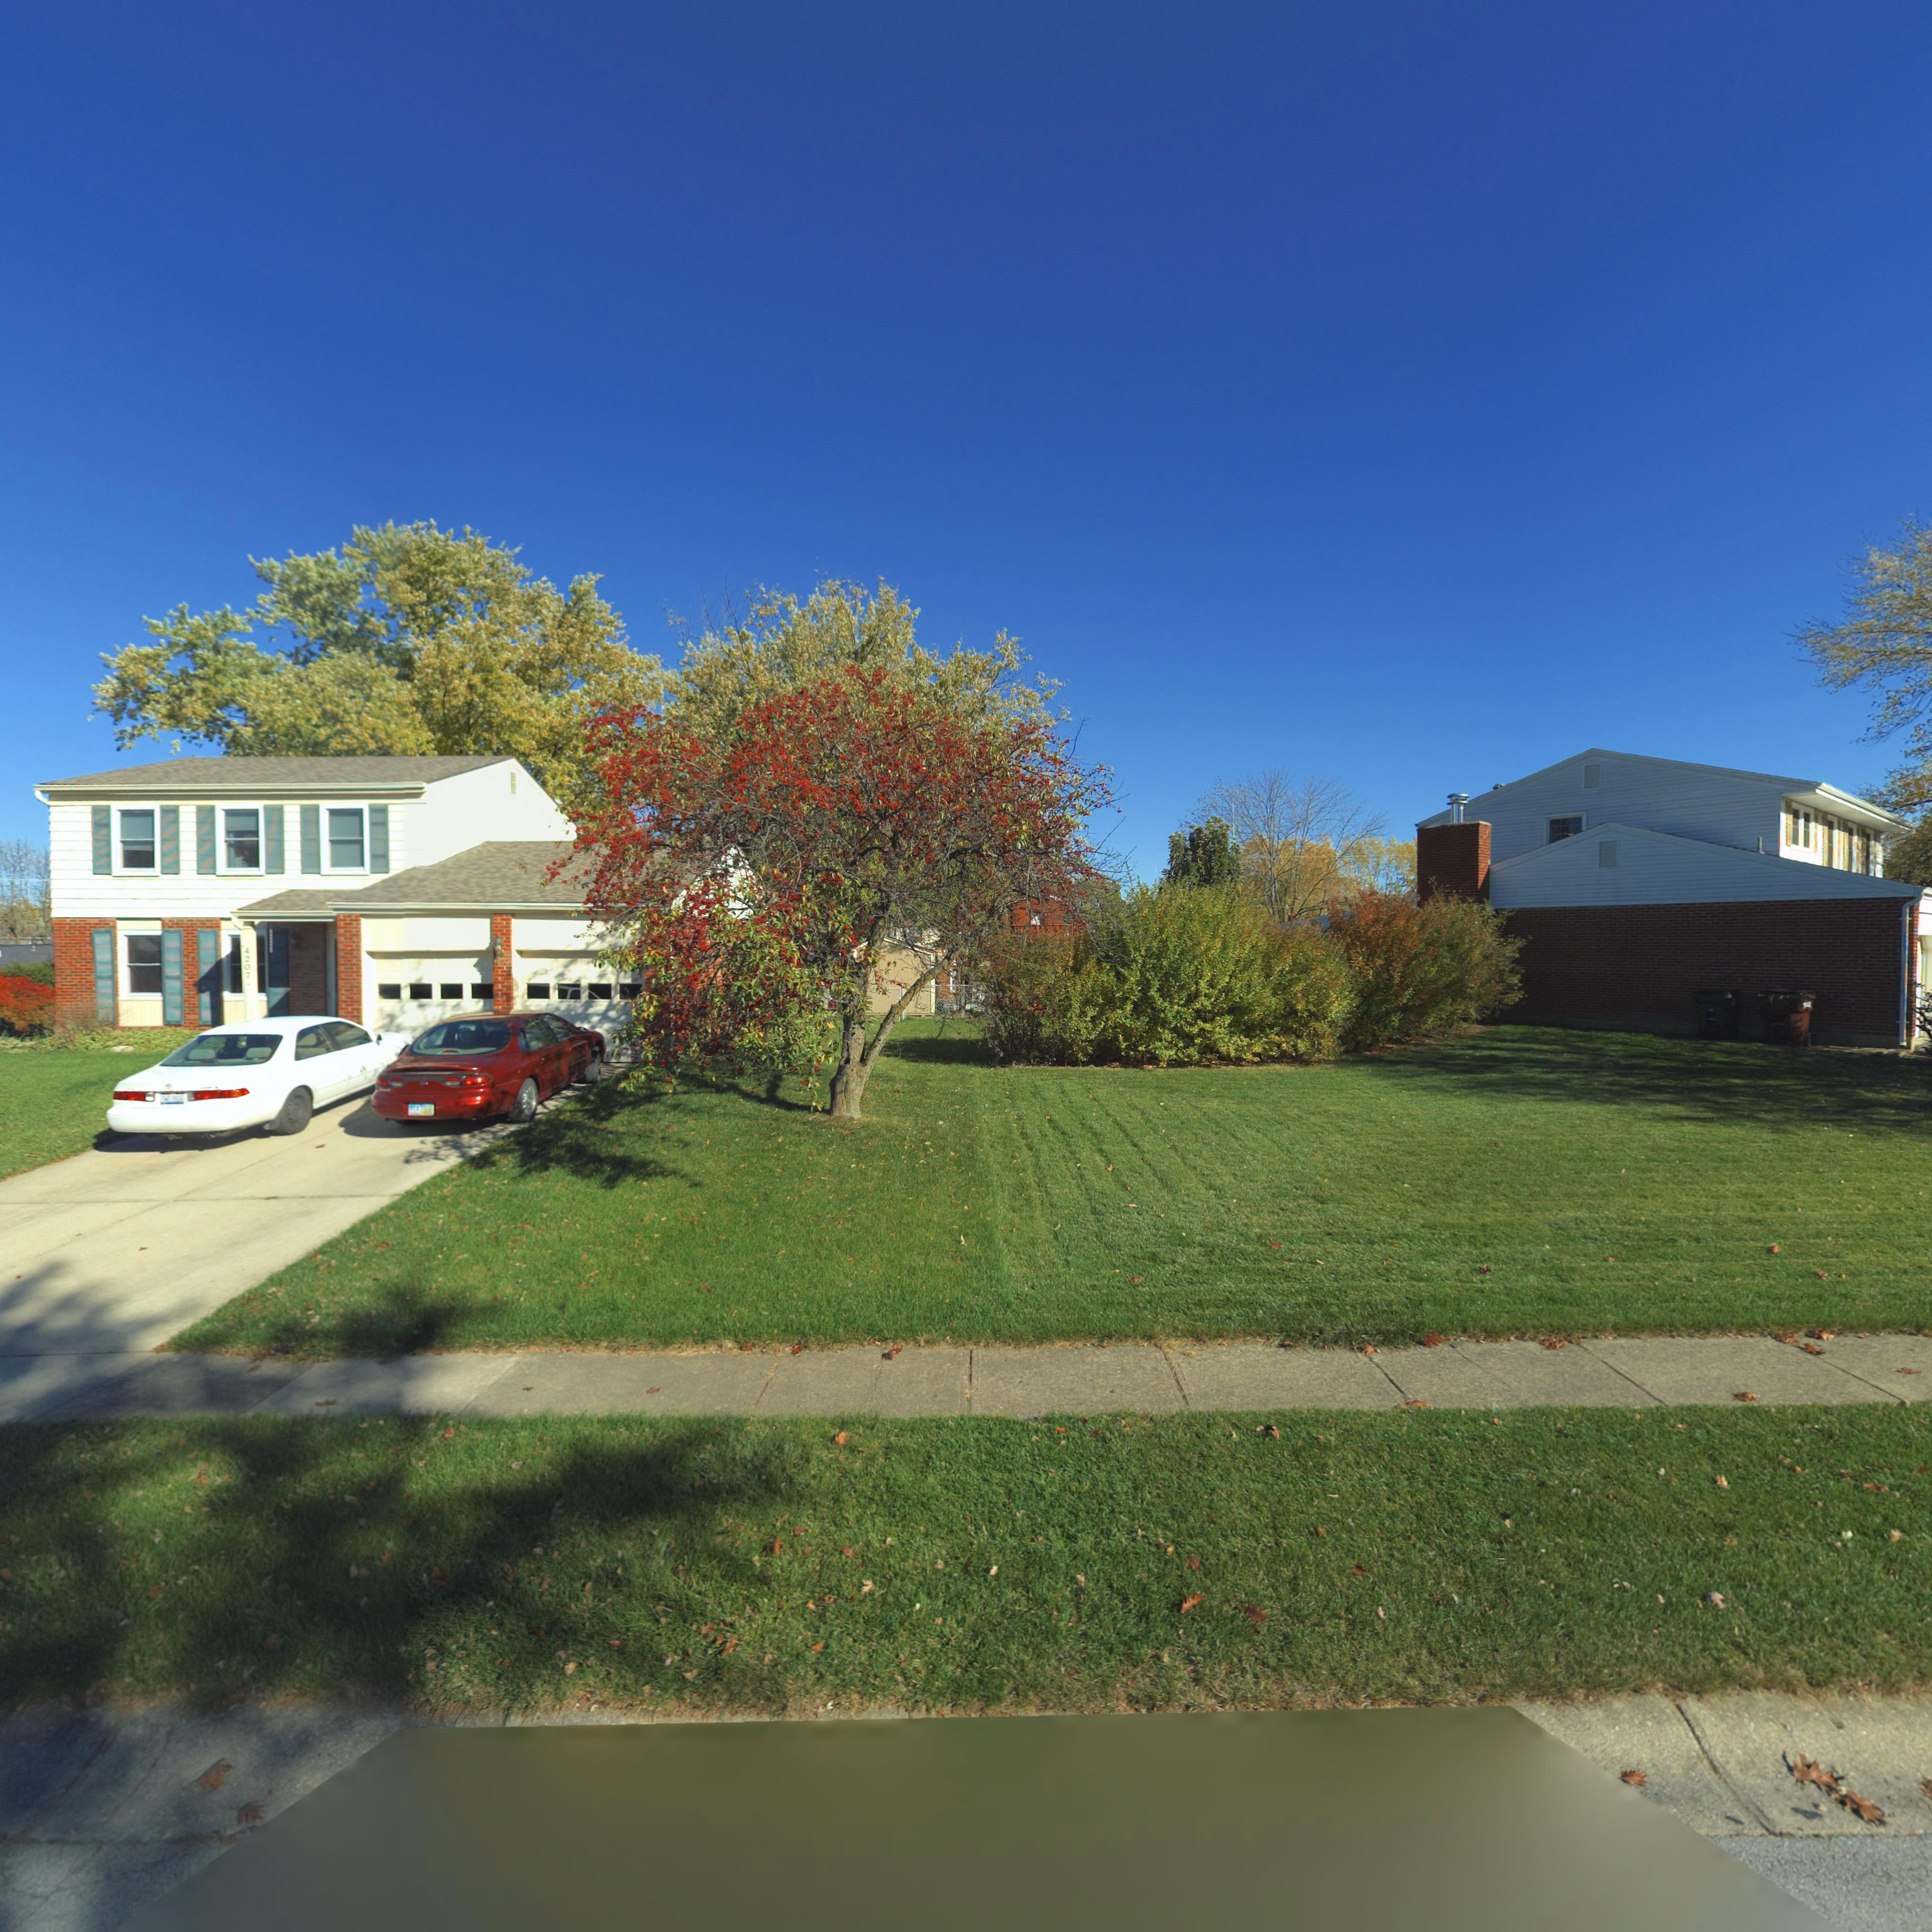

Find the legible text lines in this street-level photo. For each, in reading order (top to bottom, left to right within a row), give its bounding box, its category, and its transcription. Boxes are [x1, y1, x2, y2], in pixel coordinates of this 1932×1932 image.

[244, 947, 252, 981] StreetNumber: 4207